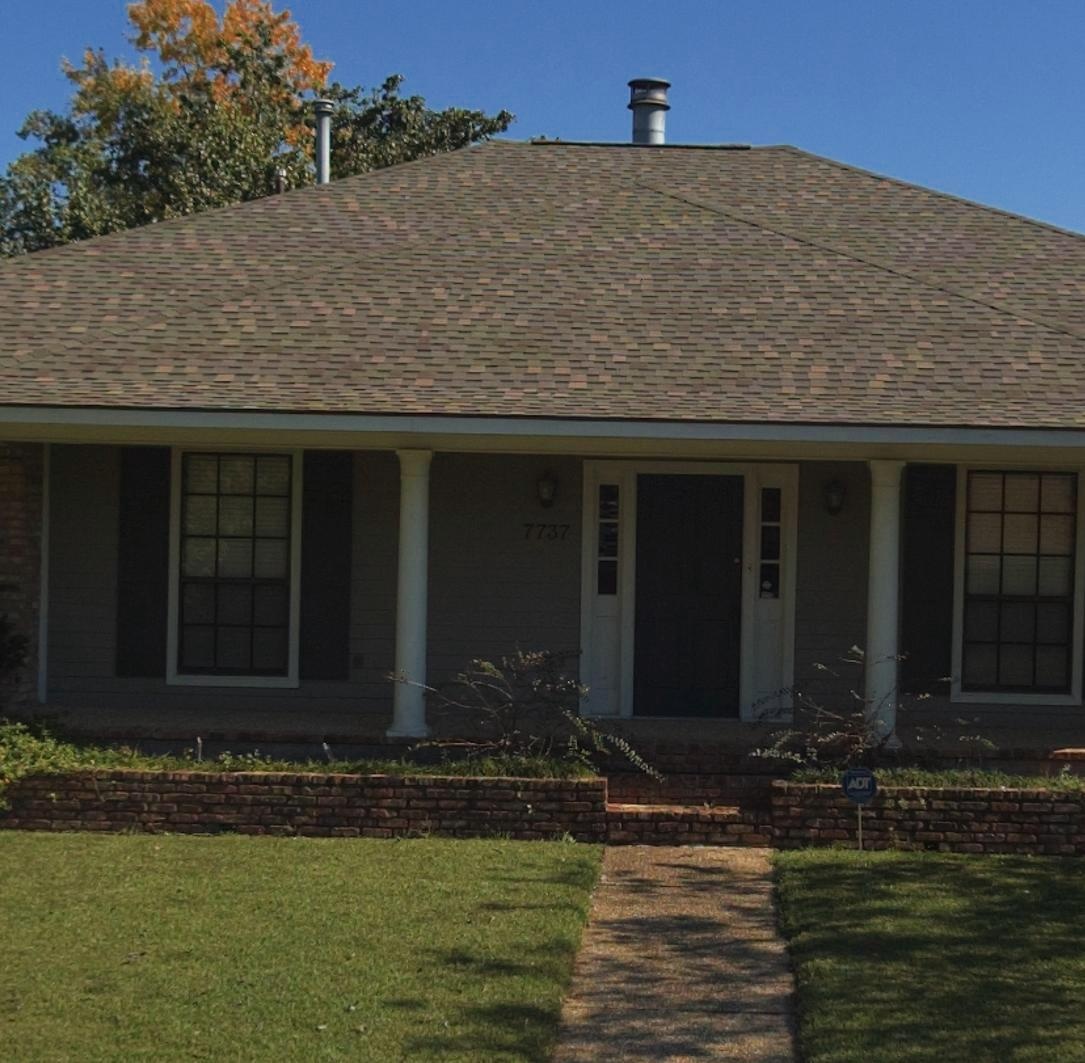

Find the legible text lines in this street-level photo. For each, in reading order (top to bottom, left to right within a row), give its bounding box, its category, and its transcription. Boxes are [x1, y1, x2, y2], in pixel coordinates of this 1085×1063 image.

[522, 523, 571, 541] StreetNumber: 7737
[848, 777, 871, 790] None: ADT